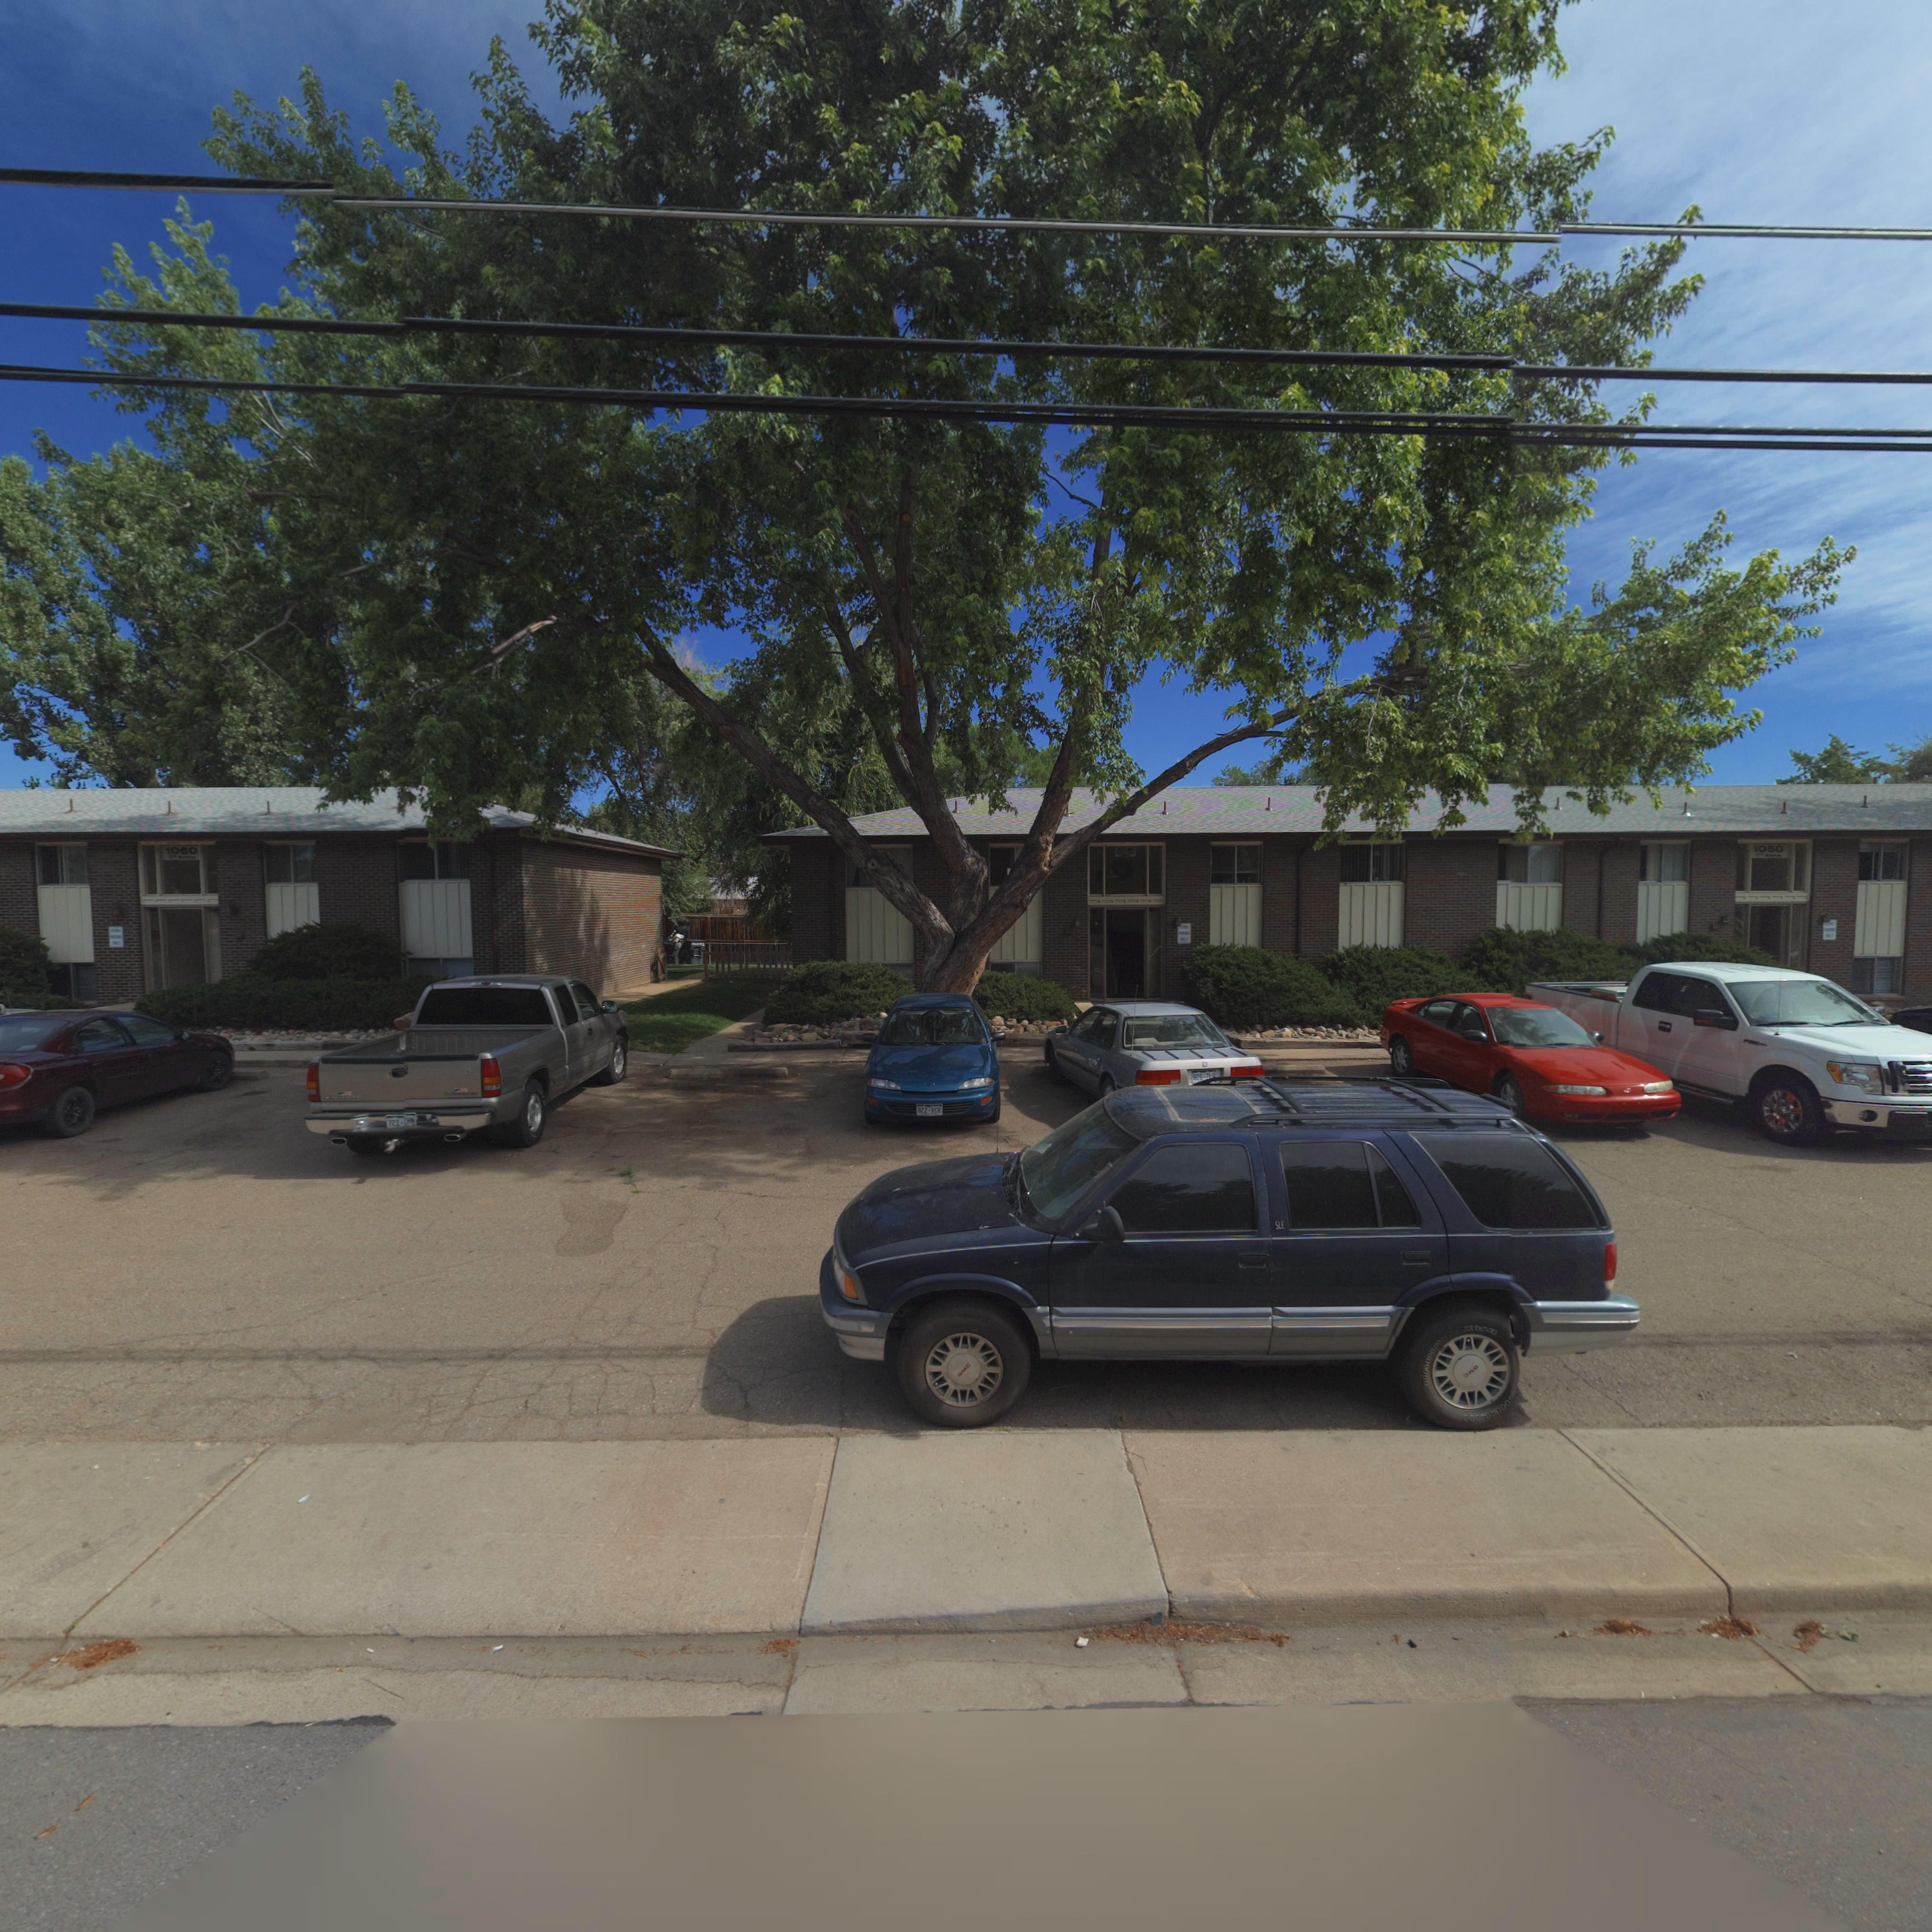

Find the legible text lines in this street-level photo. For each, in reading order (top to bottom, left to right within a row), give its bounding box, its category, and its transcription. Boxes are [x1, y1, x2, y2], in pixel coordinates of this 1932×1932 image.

[164, 846, 198, 855] StreetNumber: 1060
[1753, 844, 1784, 853] StreetNumber: 1050